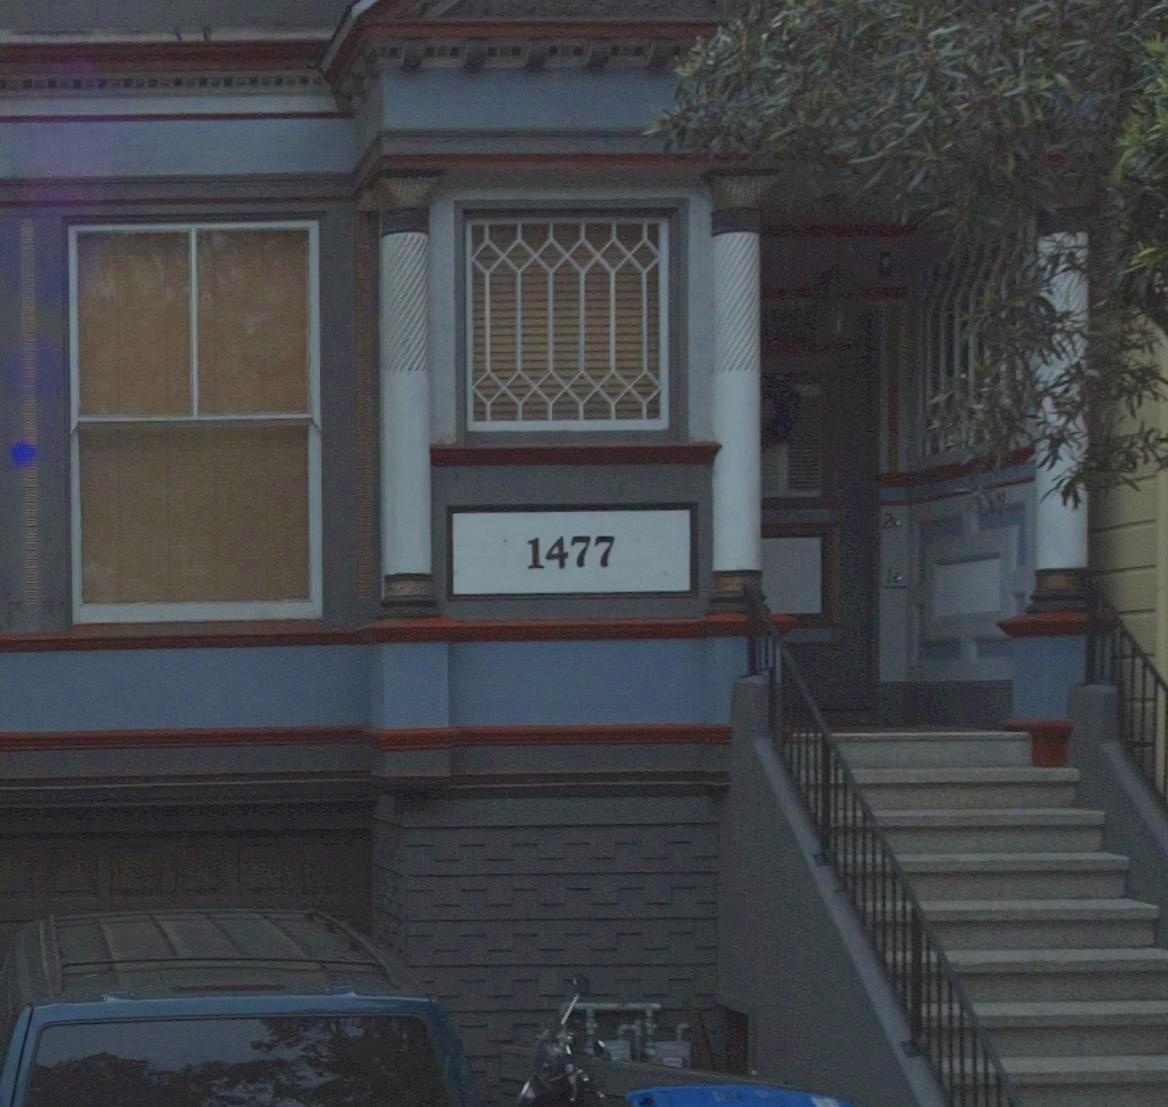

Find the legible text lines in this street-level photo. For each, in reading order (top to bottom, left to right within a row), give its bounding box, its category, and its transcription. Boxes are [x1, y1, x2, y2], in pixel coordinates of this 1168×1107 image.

[524, 533, 619, 572] StreetNumber: 1477